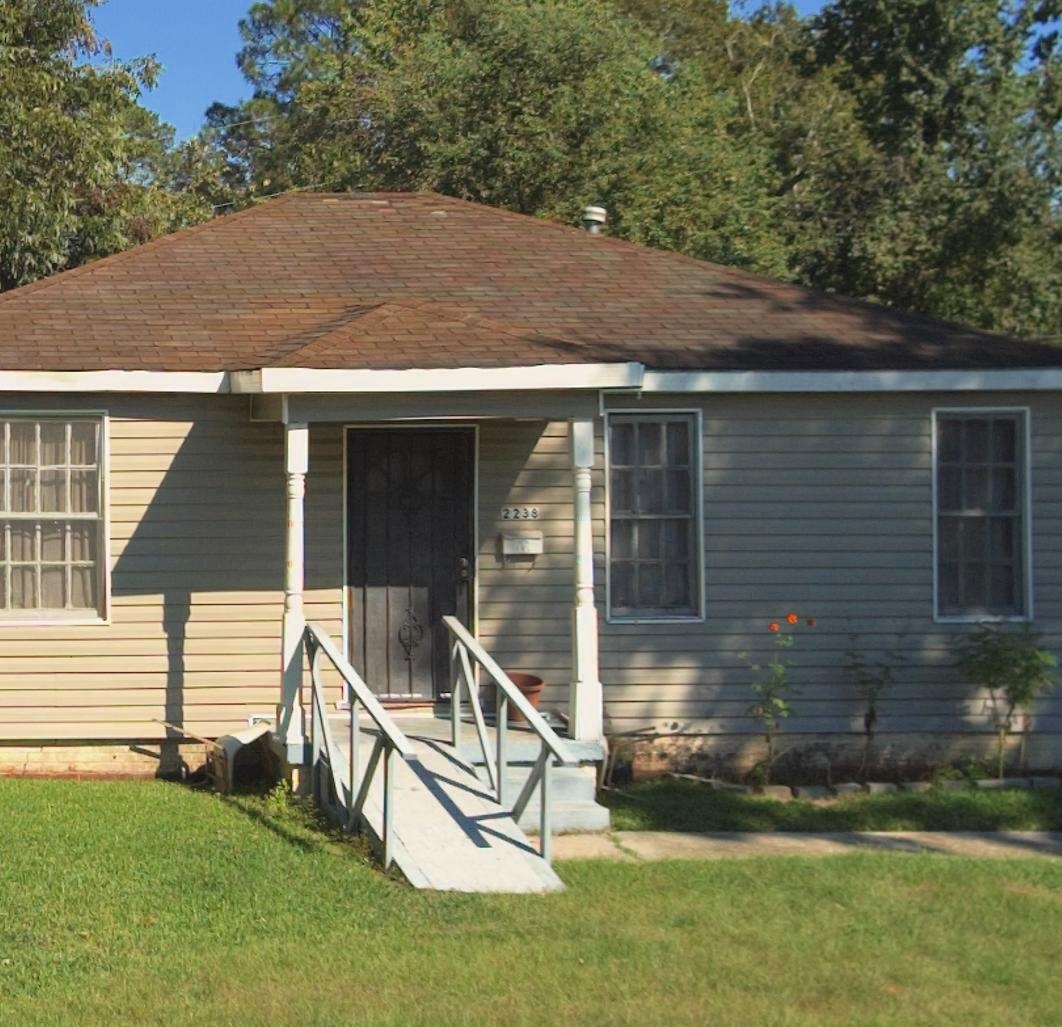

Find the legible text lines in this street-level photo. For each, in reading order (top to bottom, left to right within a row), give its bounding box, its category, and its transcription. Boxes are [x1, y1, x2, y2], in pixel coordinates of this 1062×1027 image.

[500, 507, 539, 520] StreetNumber: 2238